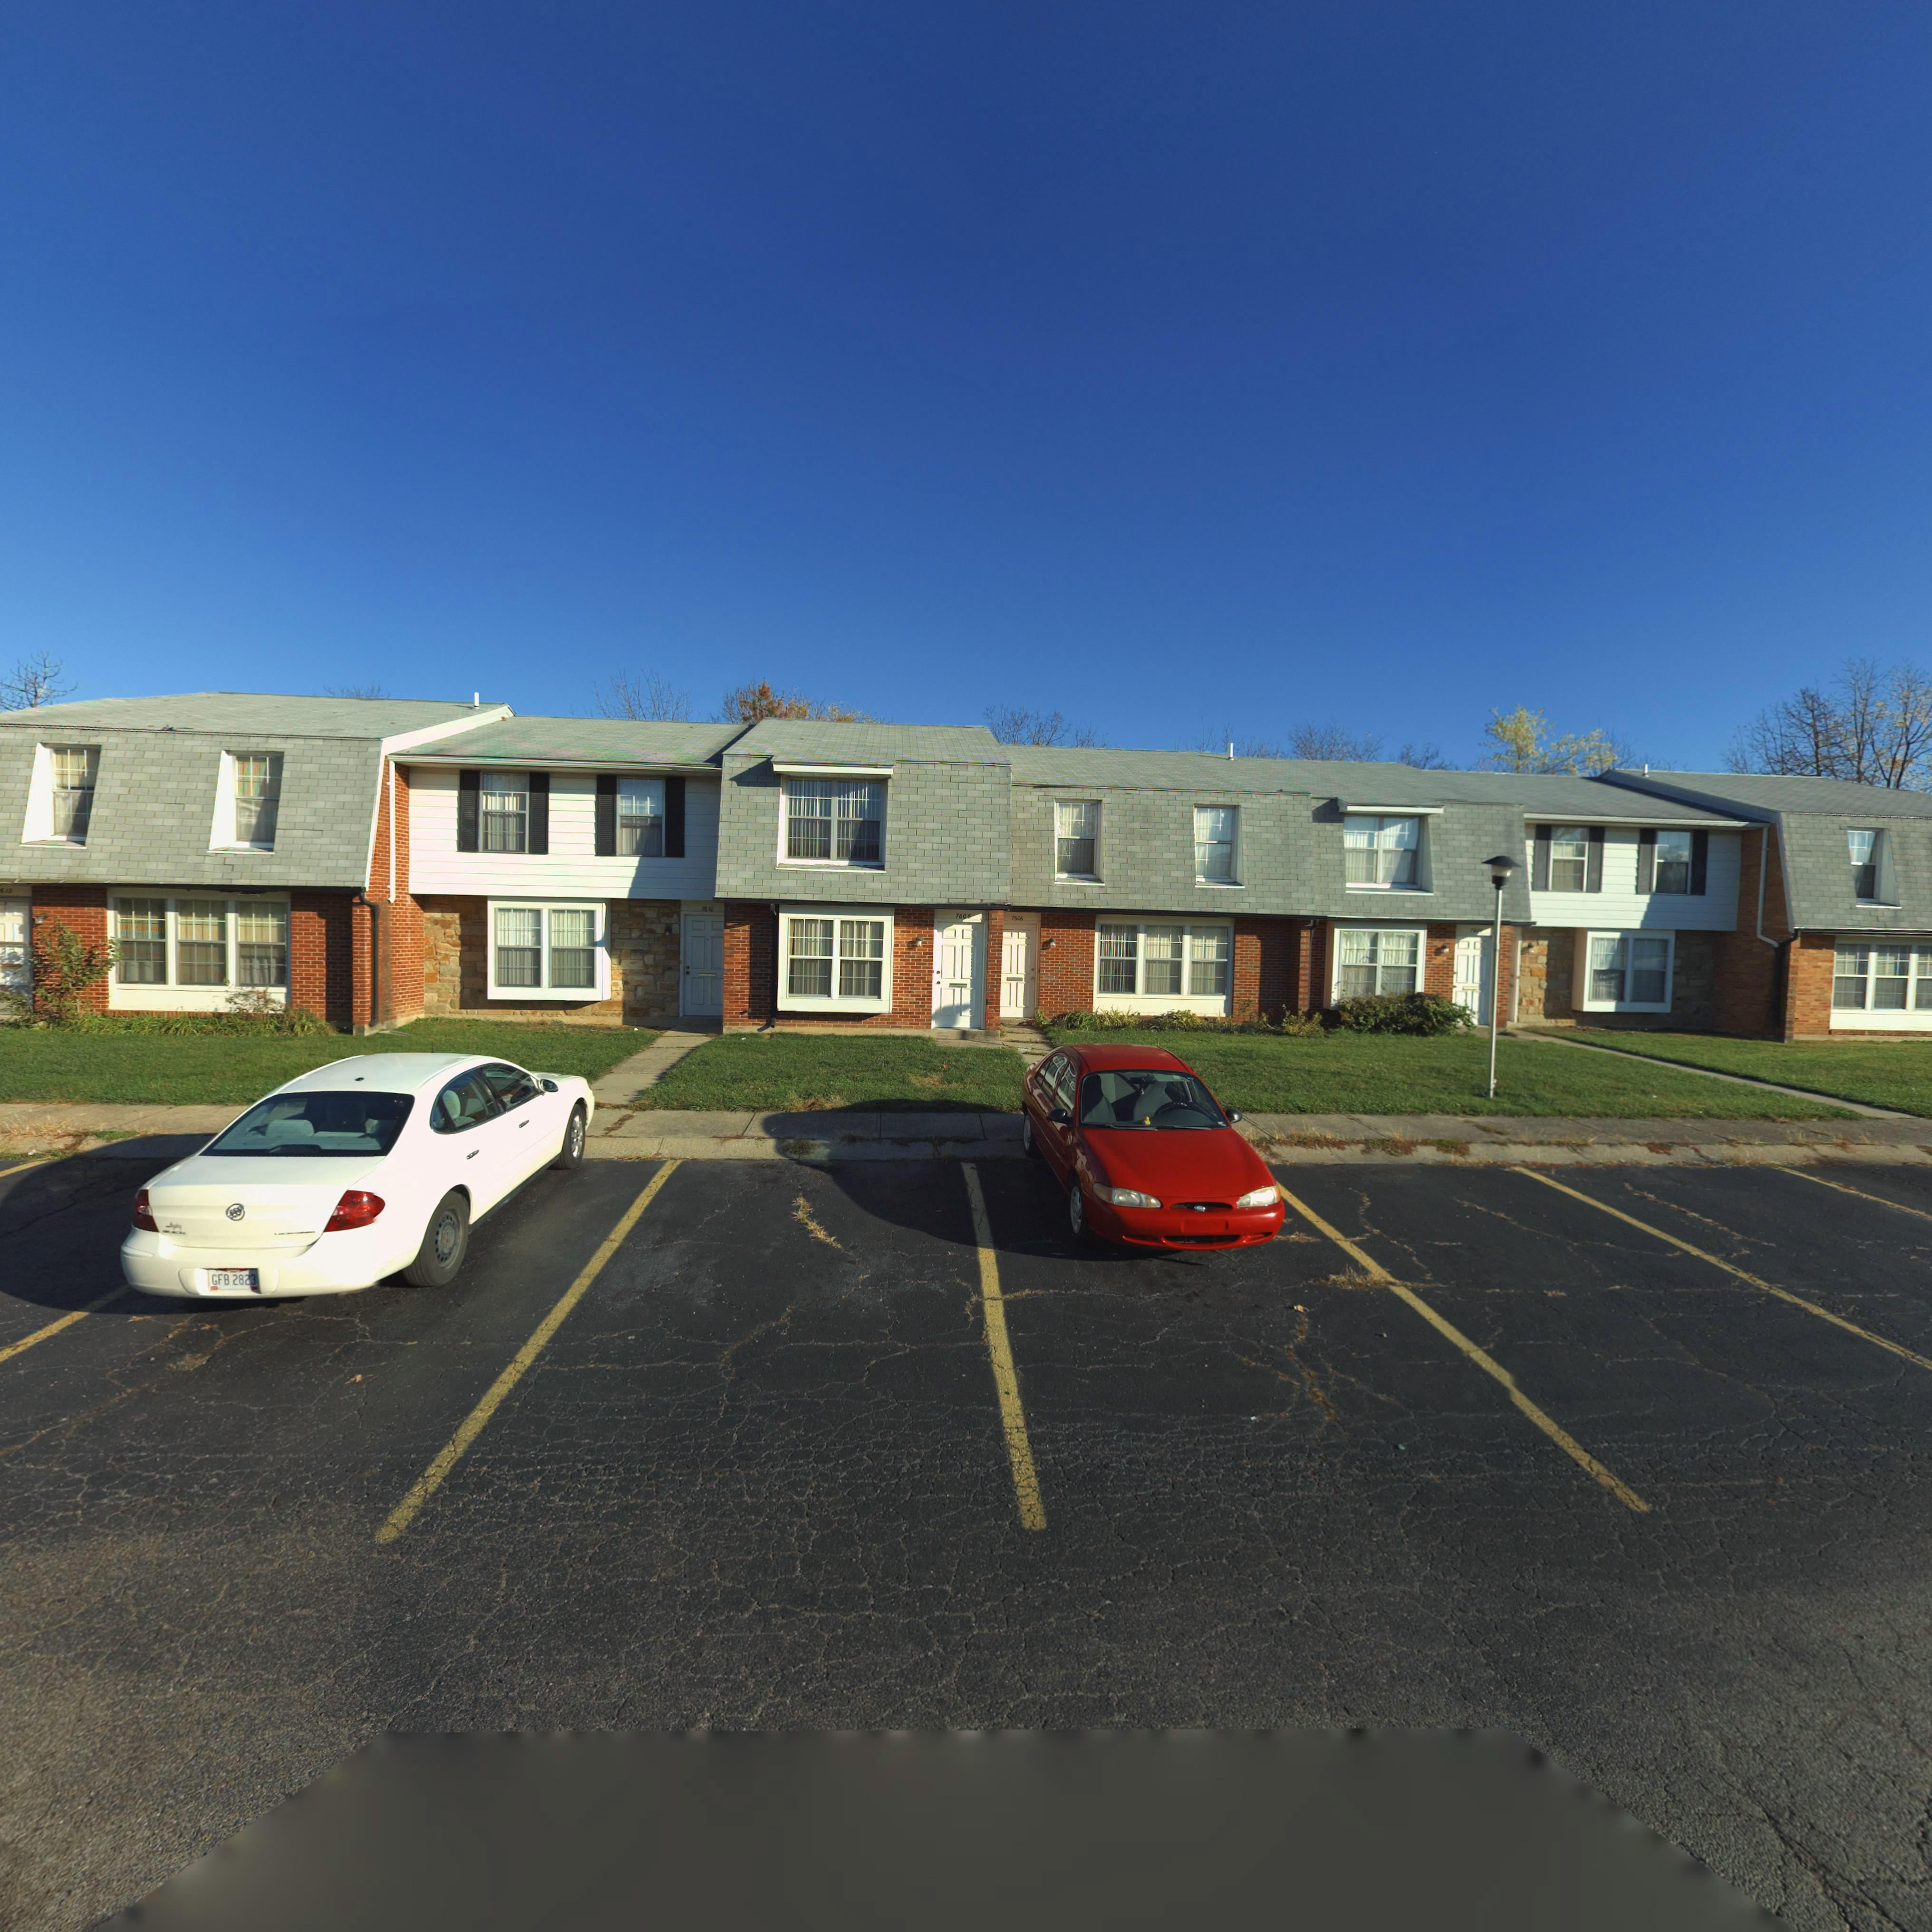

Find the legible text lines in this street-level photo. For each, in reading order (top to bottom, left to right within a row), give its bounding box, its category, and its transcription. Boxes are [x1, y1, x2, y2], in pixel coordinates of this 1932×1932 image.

[701, 905, 715, 913] StreetNumber: **10
[955, 913, 972, 919] StreetNumber: 7608
[1011, 915, 1024, 922] StreetNumber: 7606